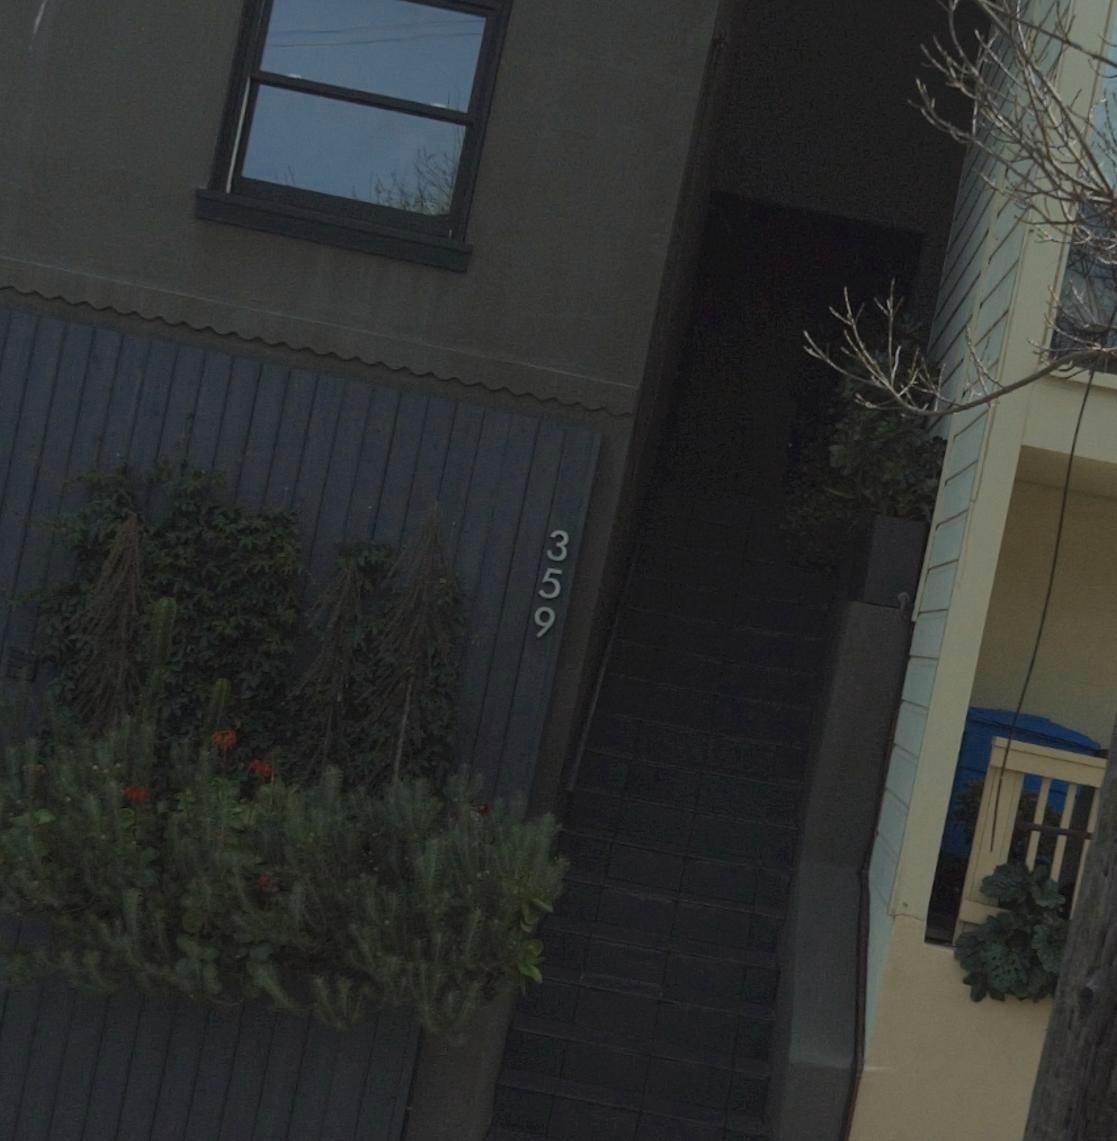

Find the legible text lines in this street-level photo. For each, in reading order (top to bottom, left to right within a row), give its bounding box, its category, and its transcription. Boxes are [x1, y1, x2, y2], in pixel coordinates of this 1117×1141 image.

[520, 522, 578, 644] StreetNumber: 359